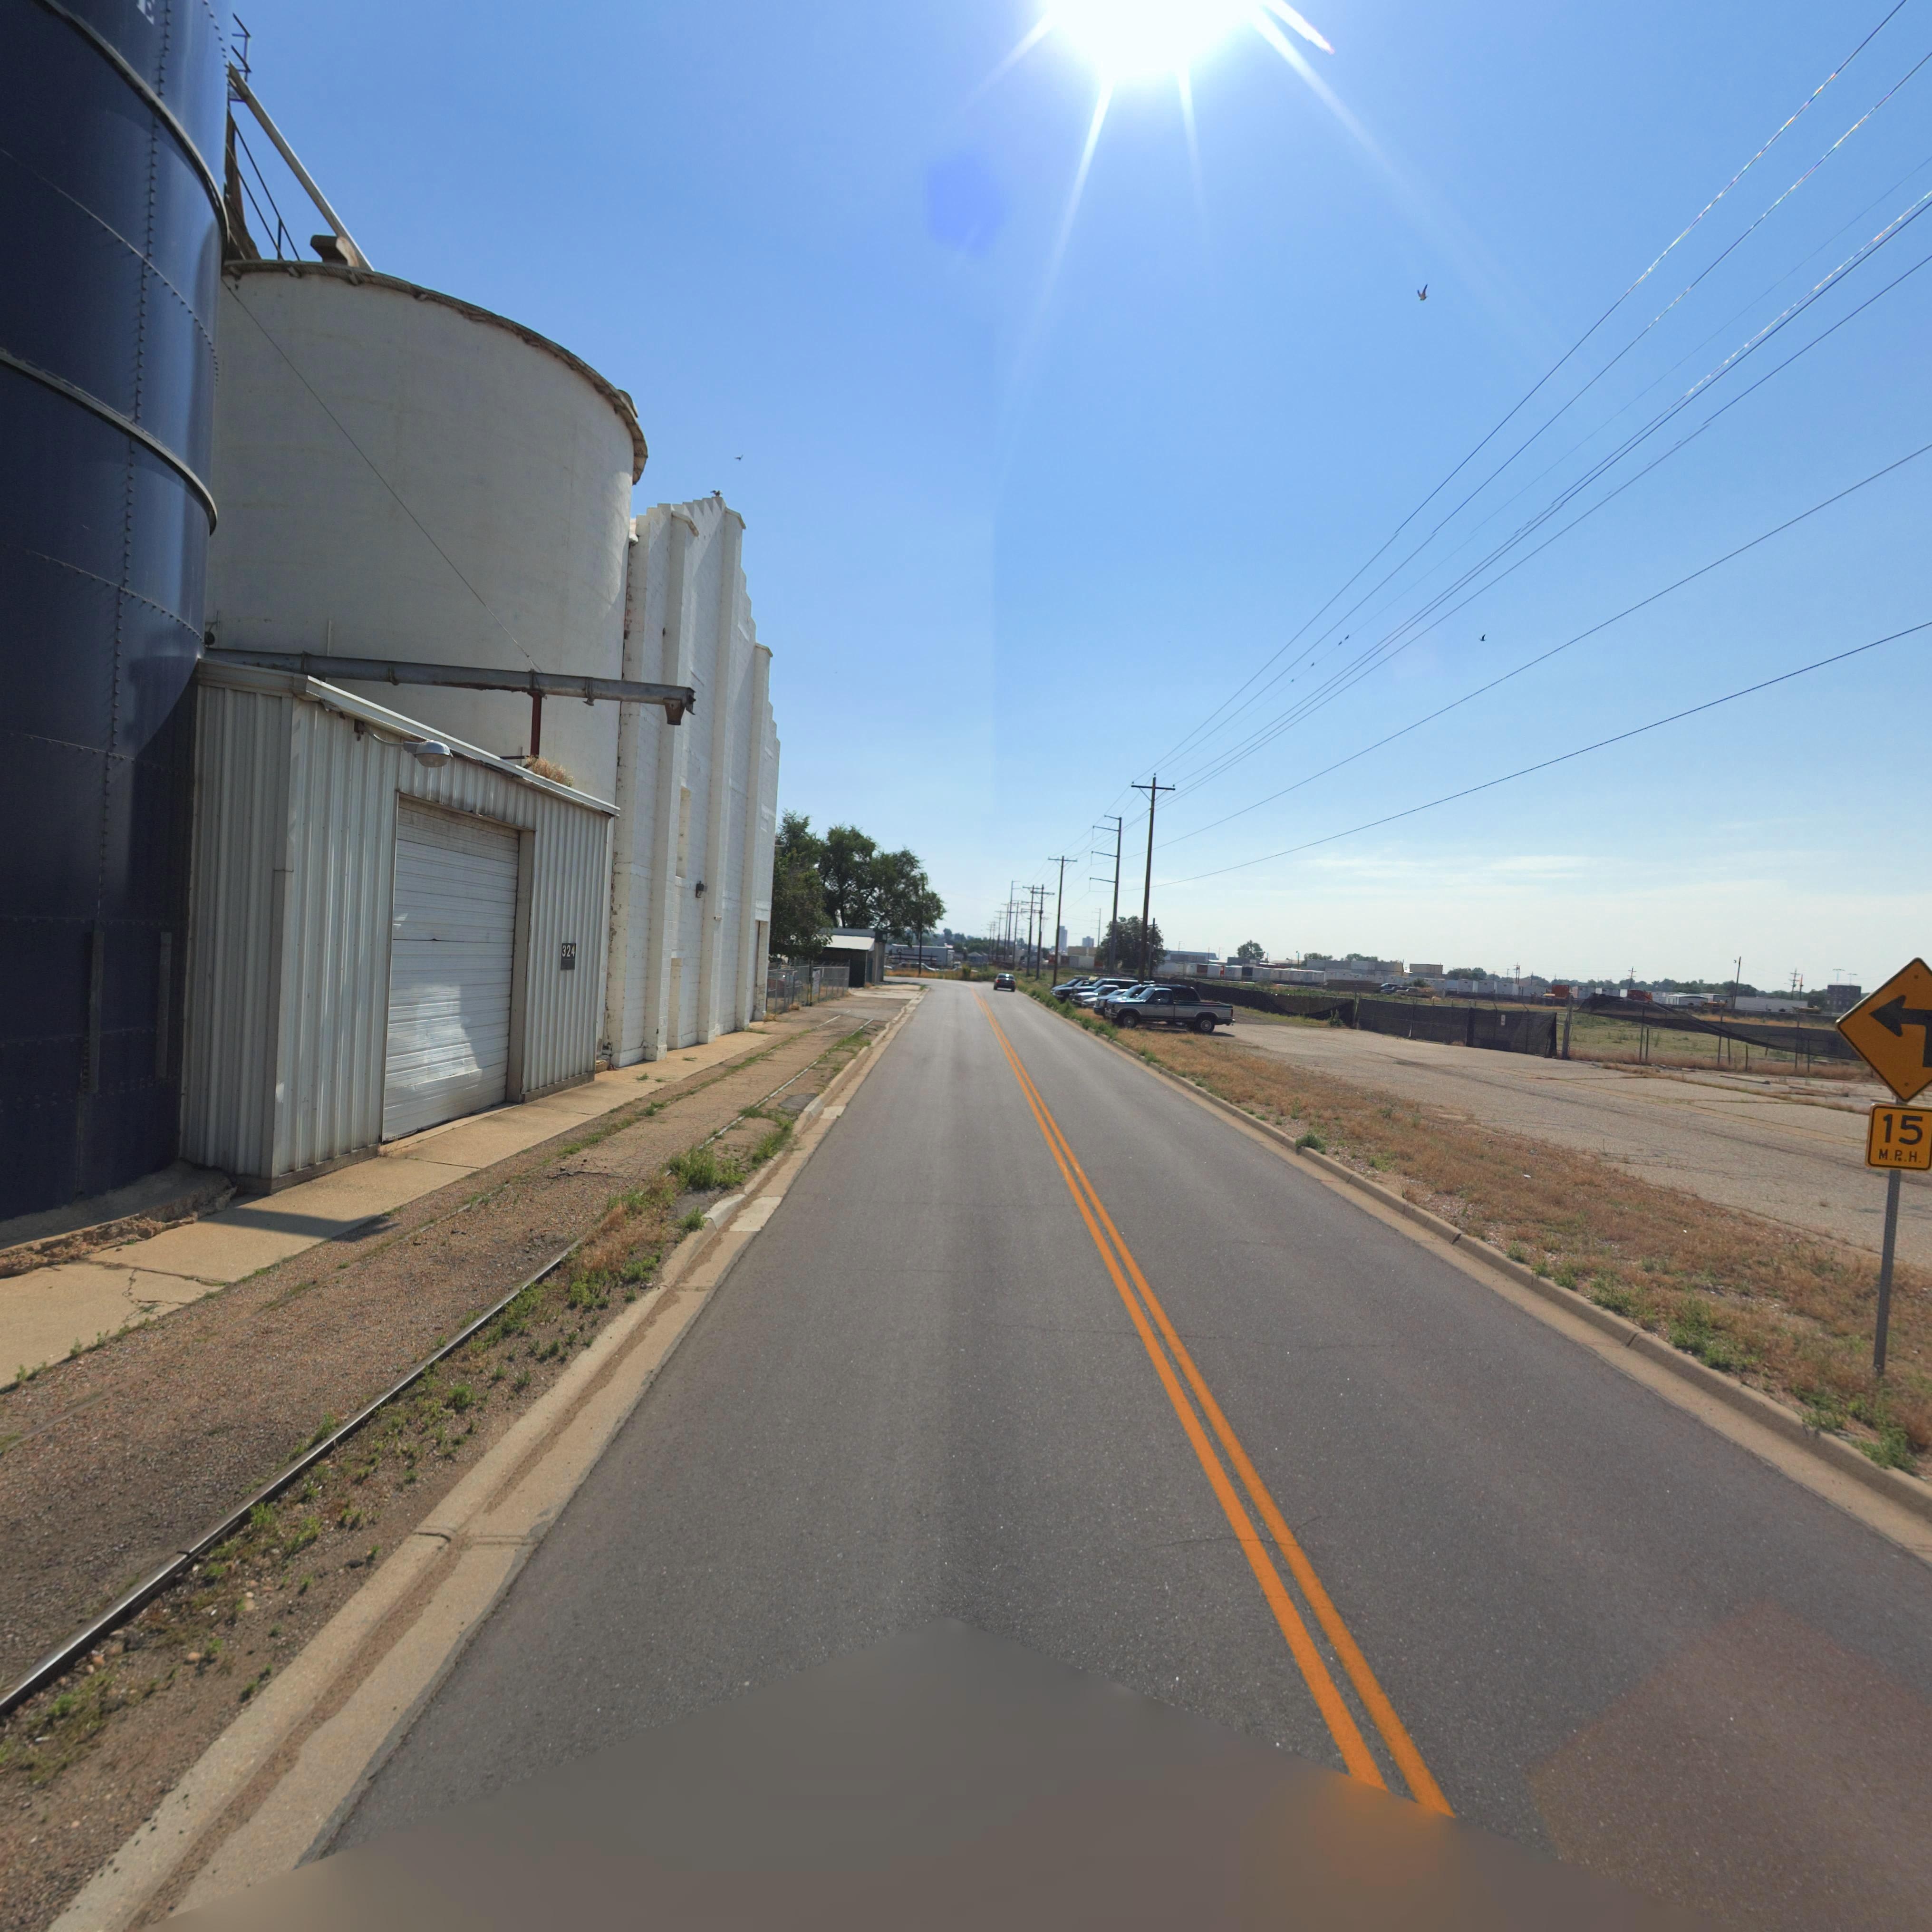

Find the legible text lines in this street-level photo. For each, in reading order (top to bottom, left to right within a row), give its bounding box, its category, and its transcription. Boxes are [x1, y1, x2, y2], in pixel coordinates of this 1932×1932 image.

[562, 943, 575, 957] StreetNumber: 324